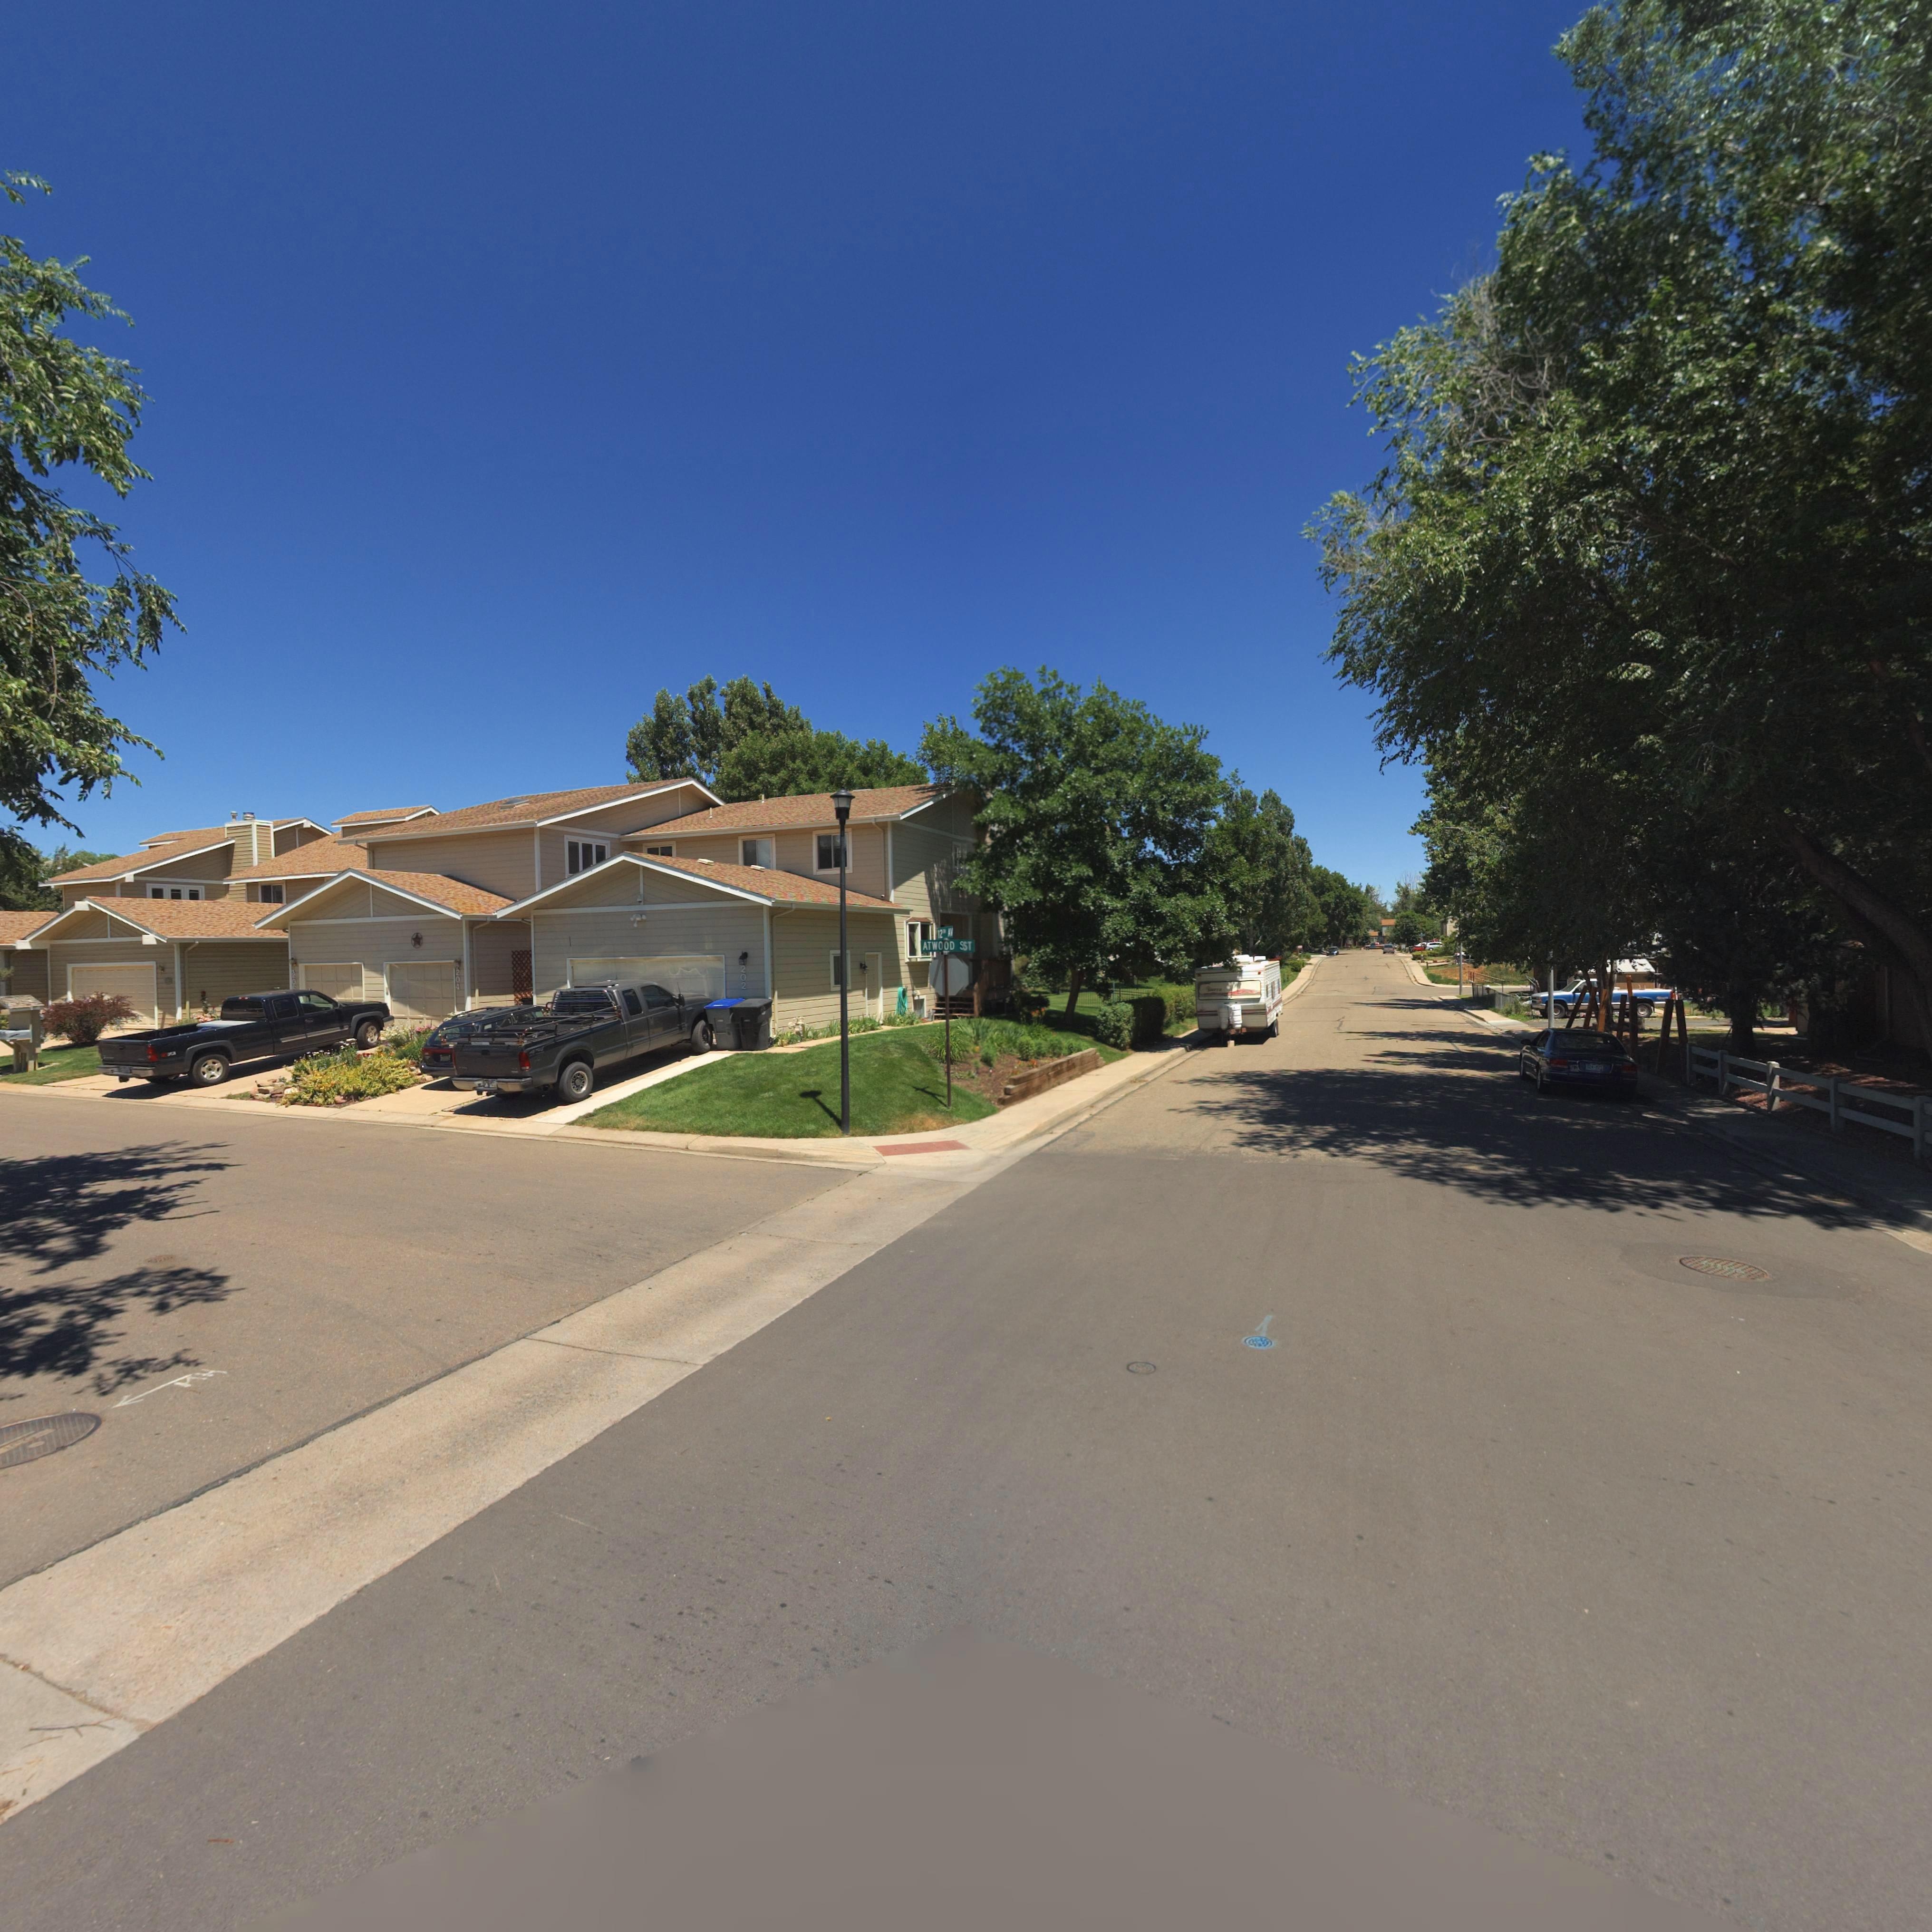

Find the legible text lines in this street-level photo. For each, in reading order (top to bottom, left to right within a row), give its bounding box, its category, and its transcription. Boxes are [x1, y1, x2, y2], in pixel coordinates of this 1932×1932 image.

[937, 927, 953, 939] StreetName: 12TH AV
[922, 940, 972, 950] StreetName: ATWOOD SST
[291, 971, 296, 985] StreetNumber: 20
[455, 969, 460, 990] StreetNumber: 204
[740, 965, 747, 990] StreetNumber: 202